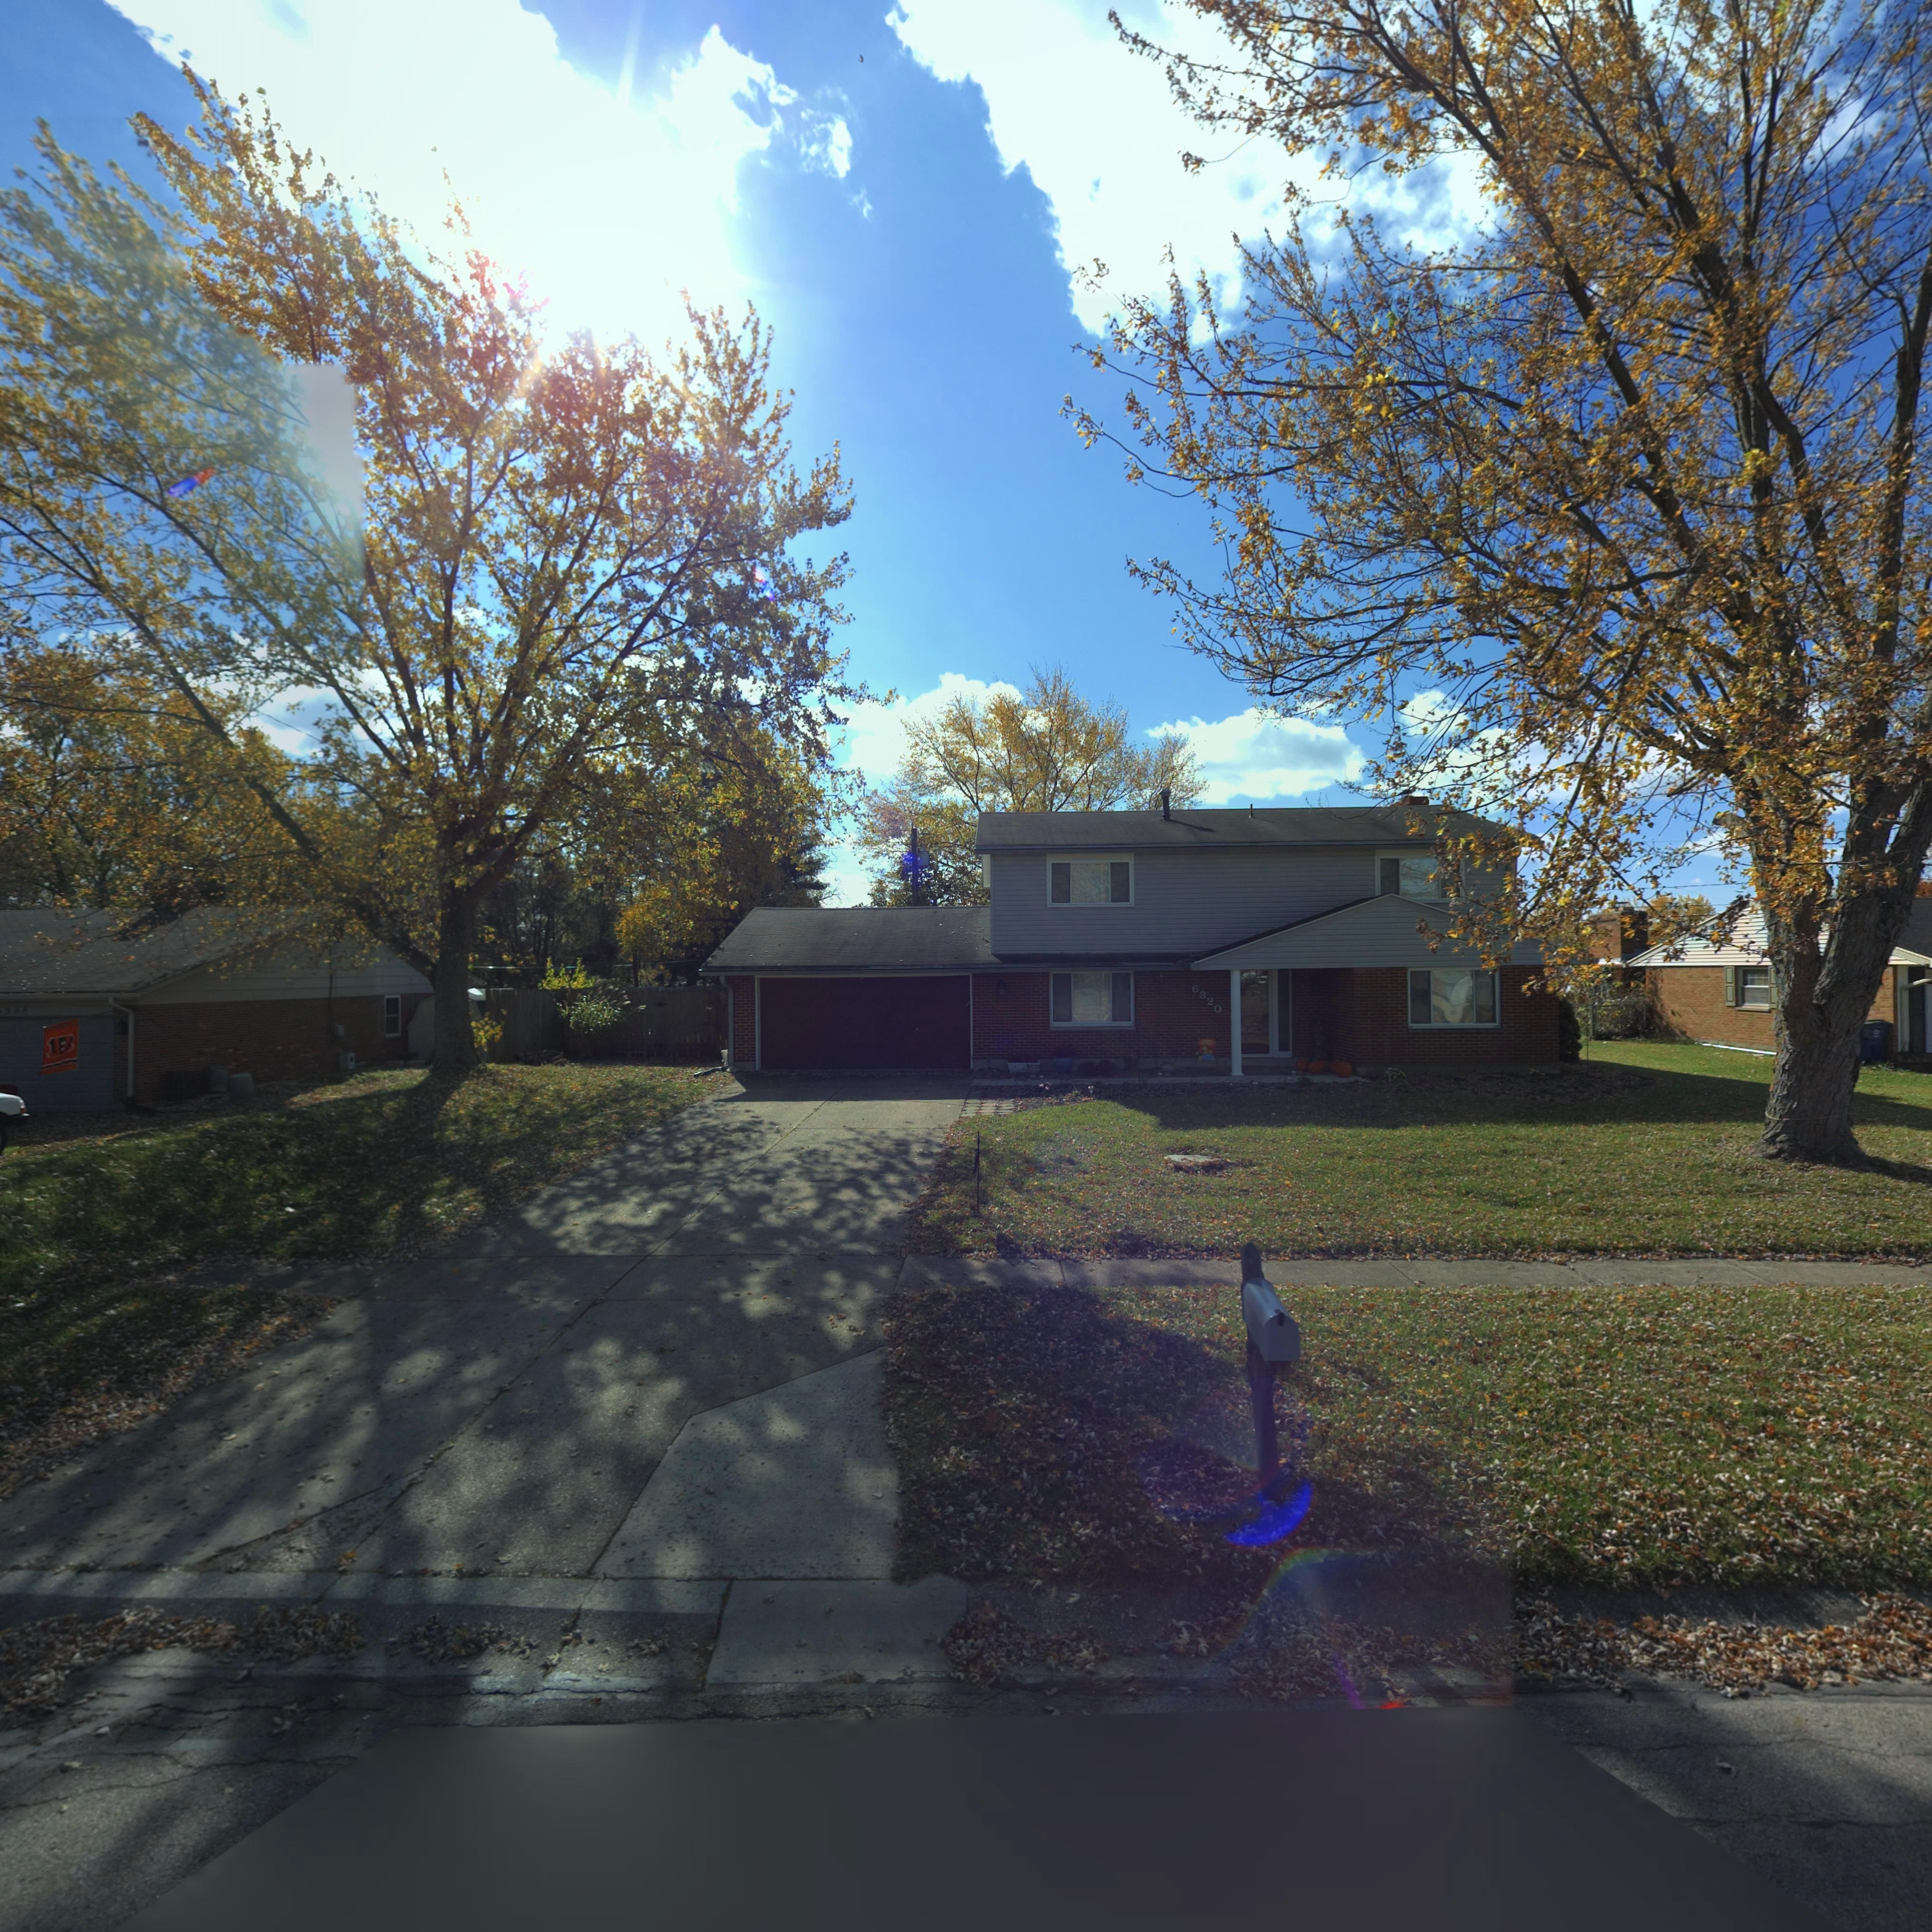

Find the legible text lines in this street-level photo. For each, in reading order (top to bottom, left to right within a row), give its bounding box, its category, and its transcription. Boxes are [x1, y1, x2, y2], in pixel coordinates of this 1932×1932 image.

[4, 1005, 29, 1015] StreetNumber: 3*8
[1191, 984, 1223, 1014] StreetNumber: 6320